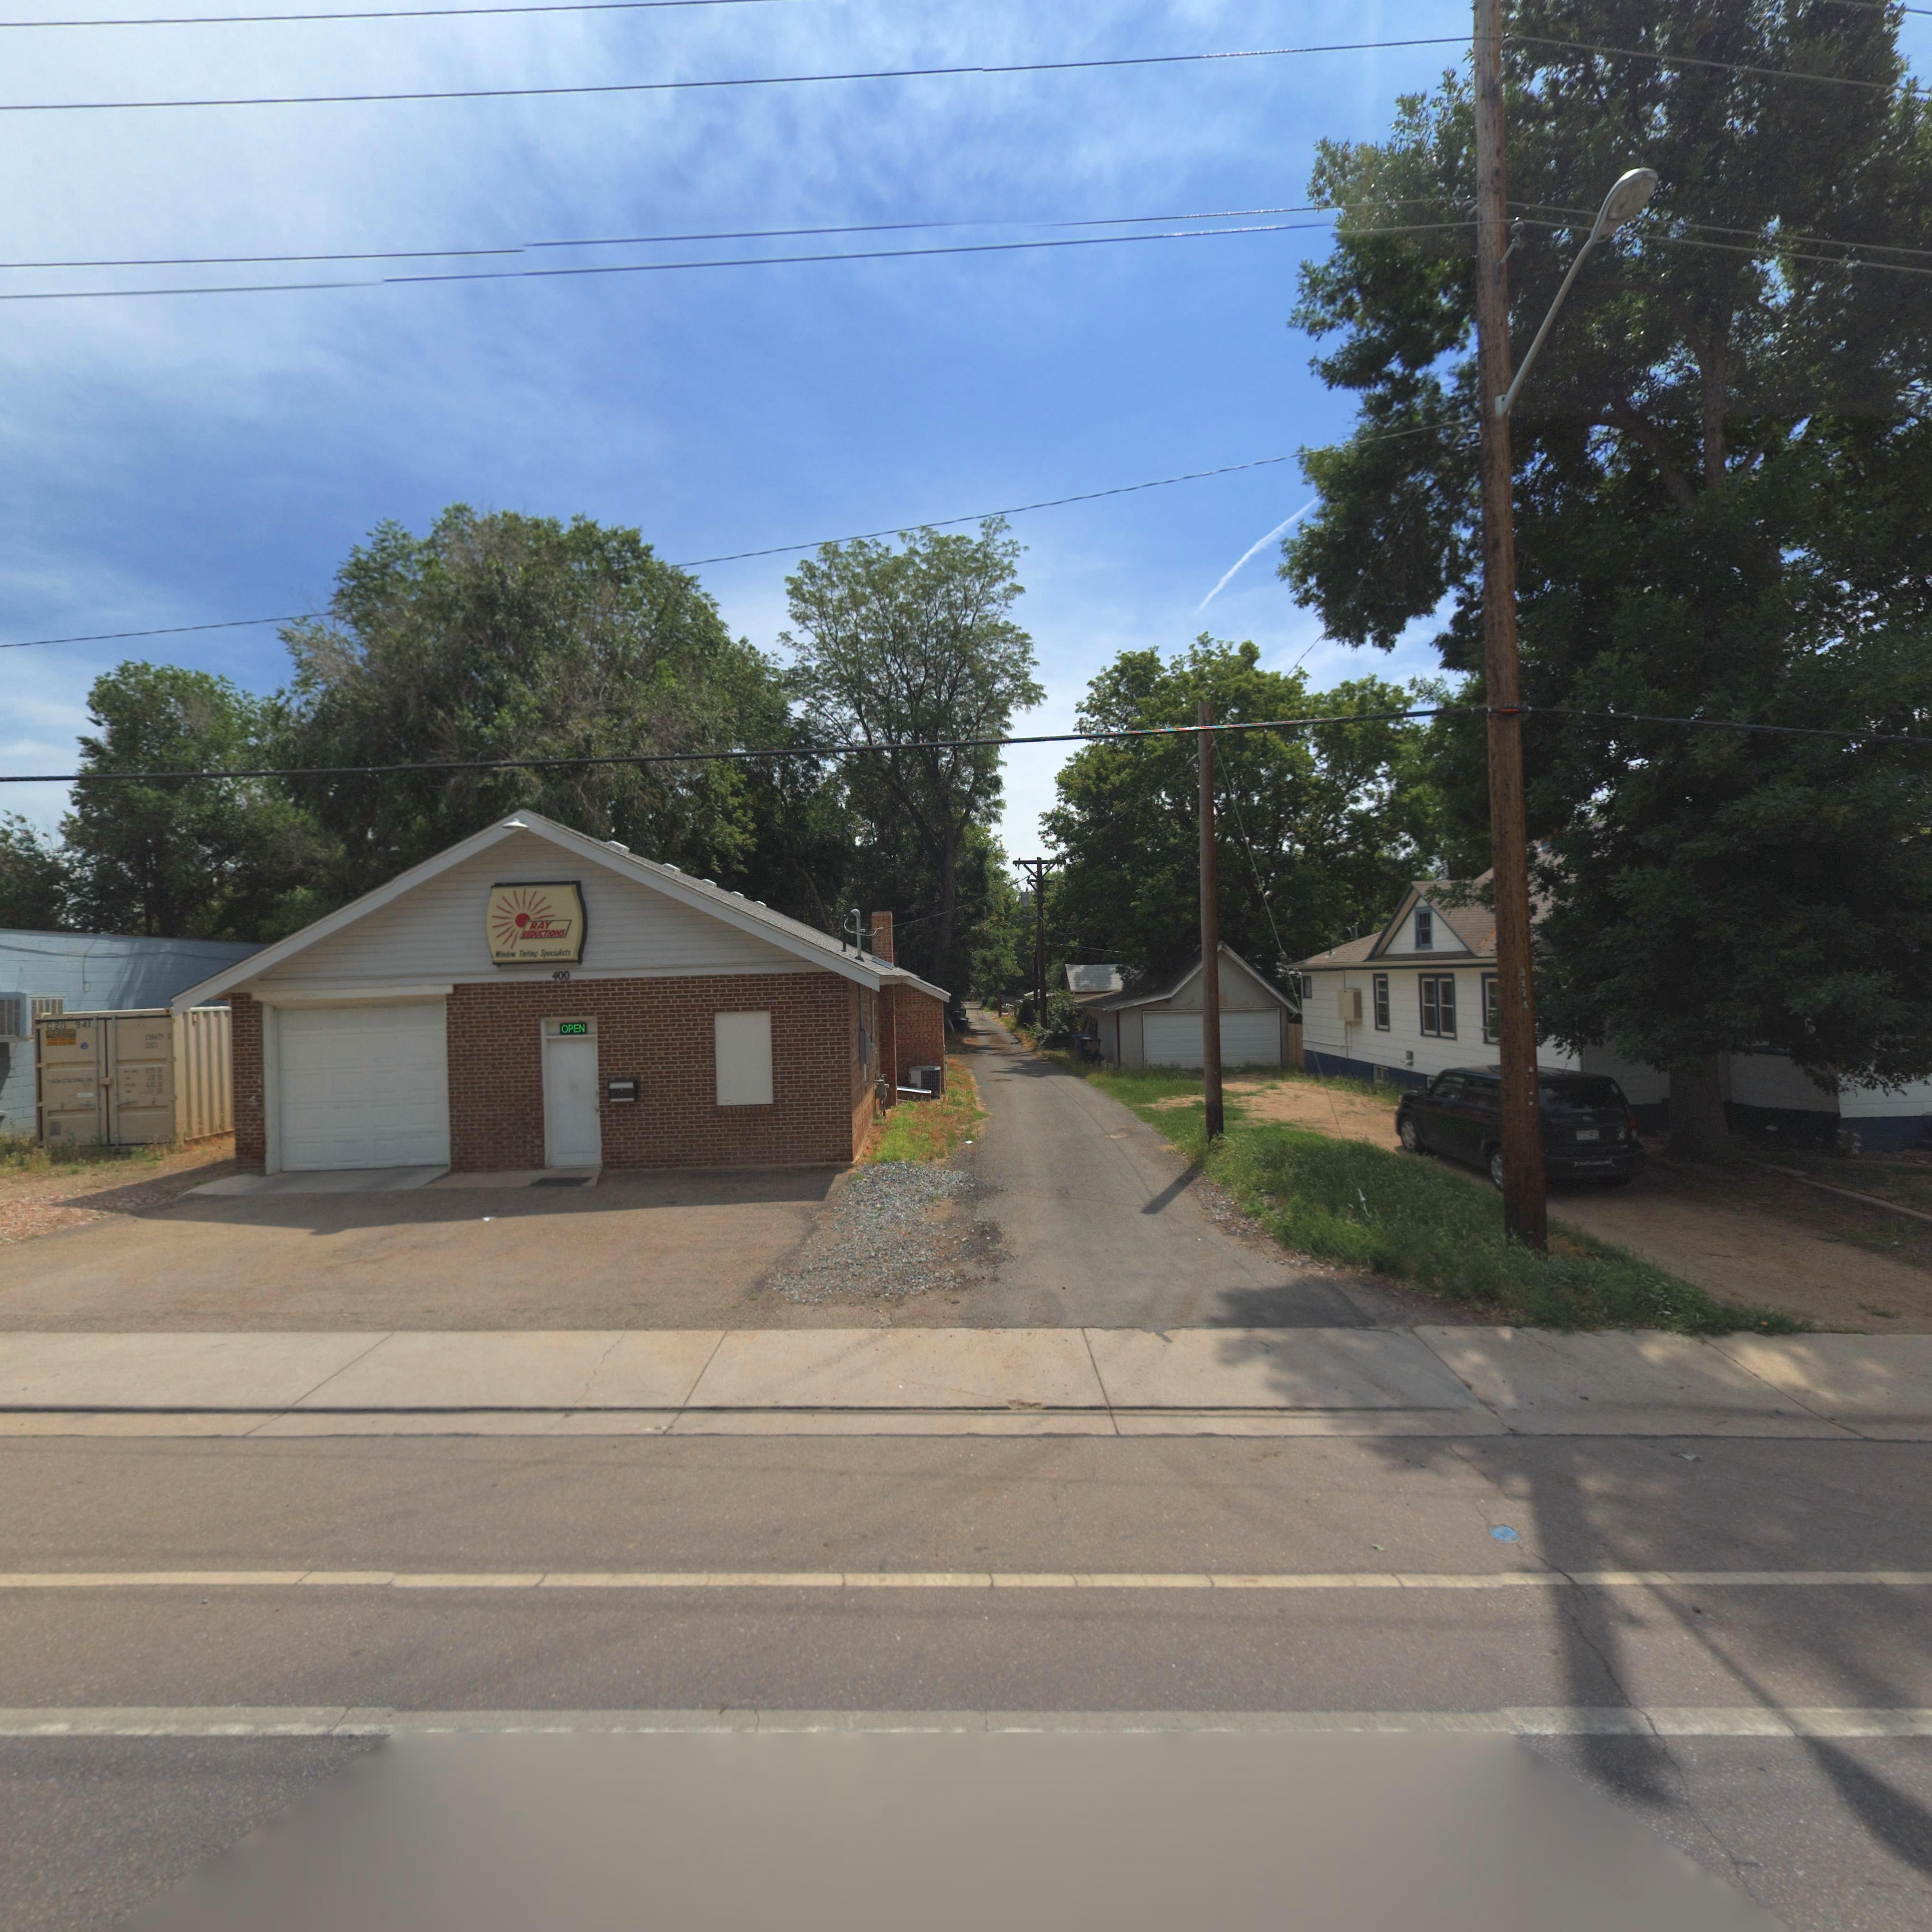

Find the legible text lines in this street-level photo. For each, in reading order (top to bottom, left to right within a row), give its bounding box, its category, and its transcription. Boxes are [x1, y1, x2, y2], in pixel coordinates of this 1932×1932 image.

[528, 920, 553, 930] BusinessName: RAY
[521, 929, 567, 938] BusinessName: REDUCTIONS
[551, 970, 572, 980] StreetNumber: 400